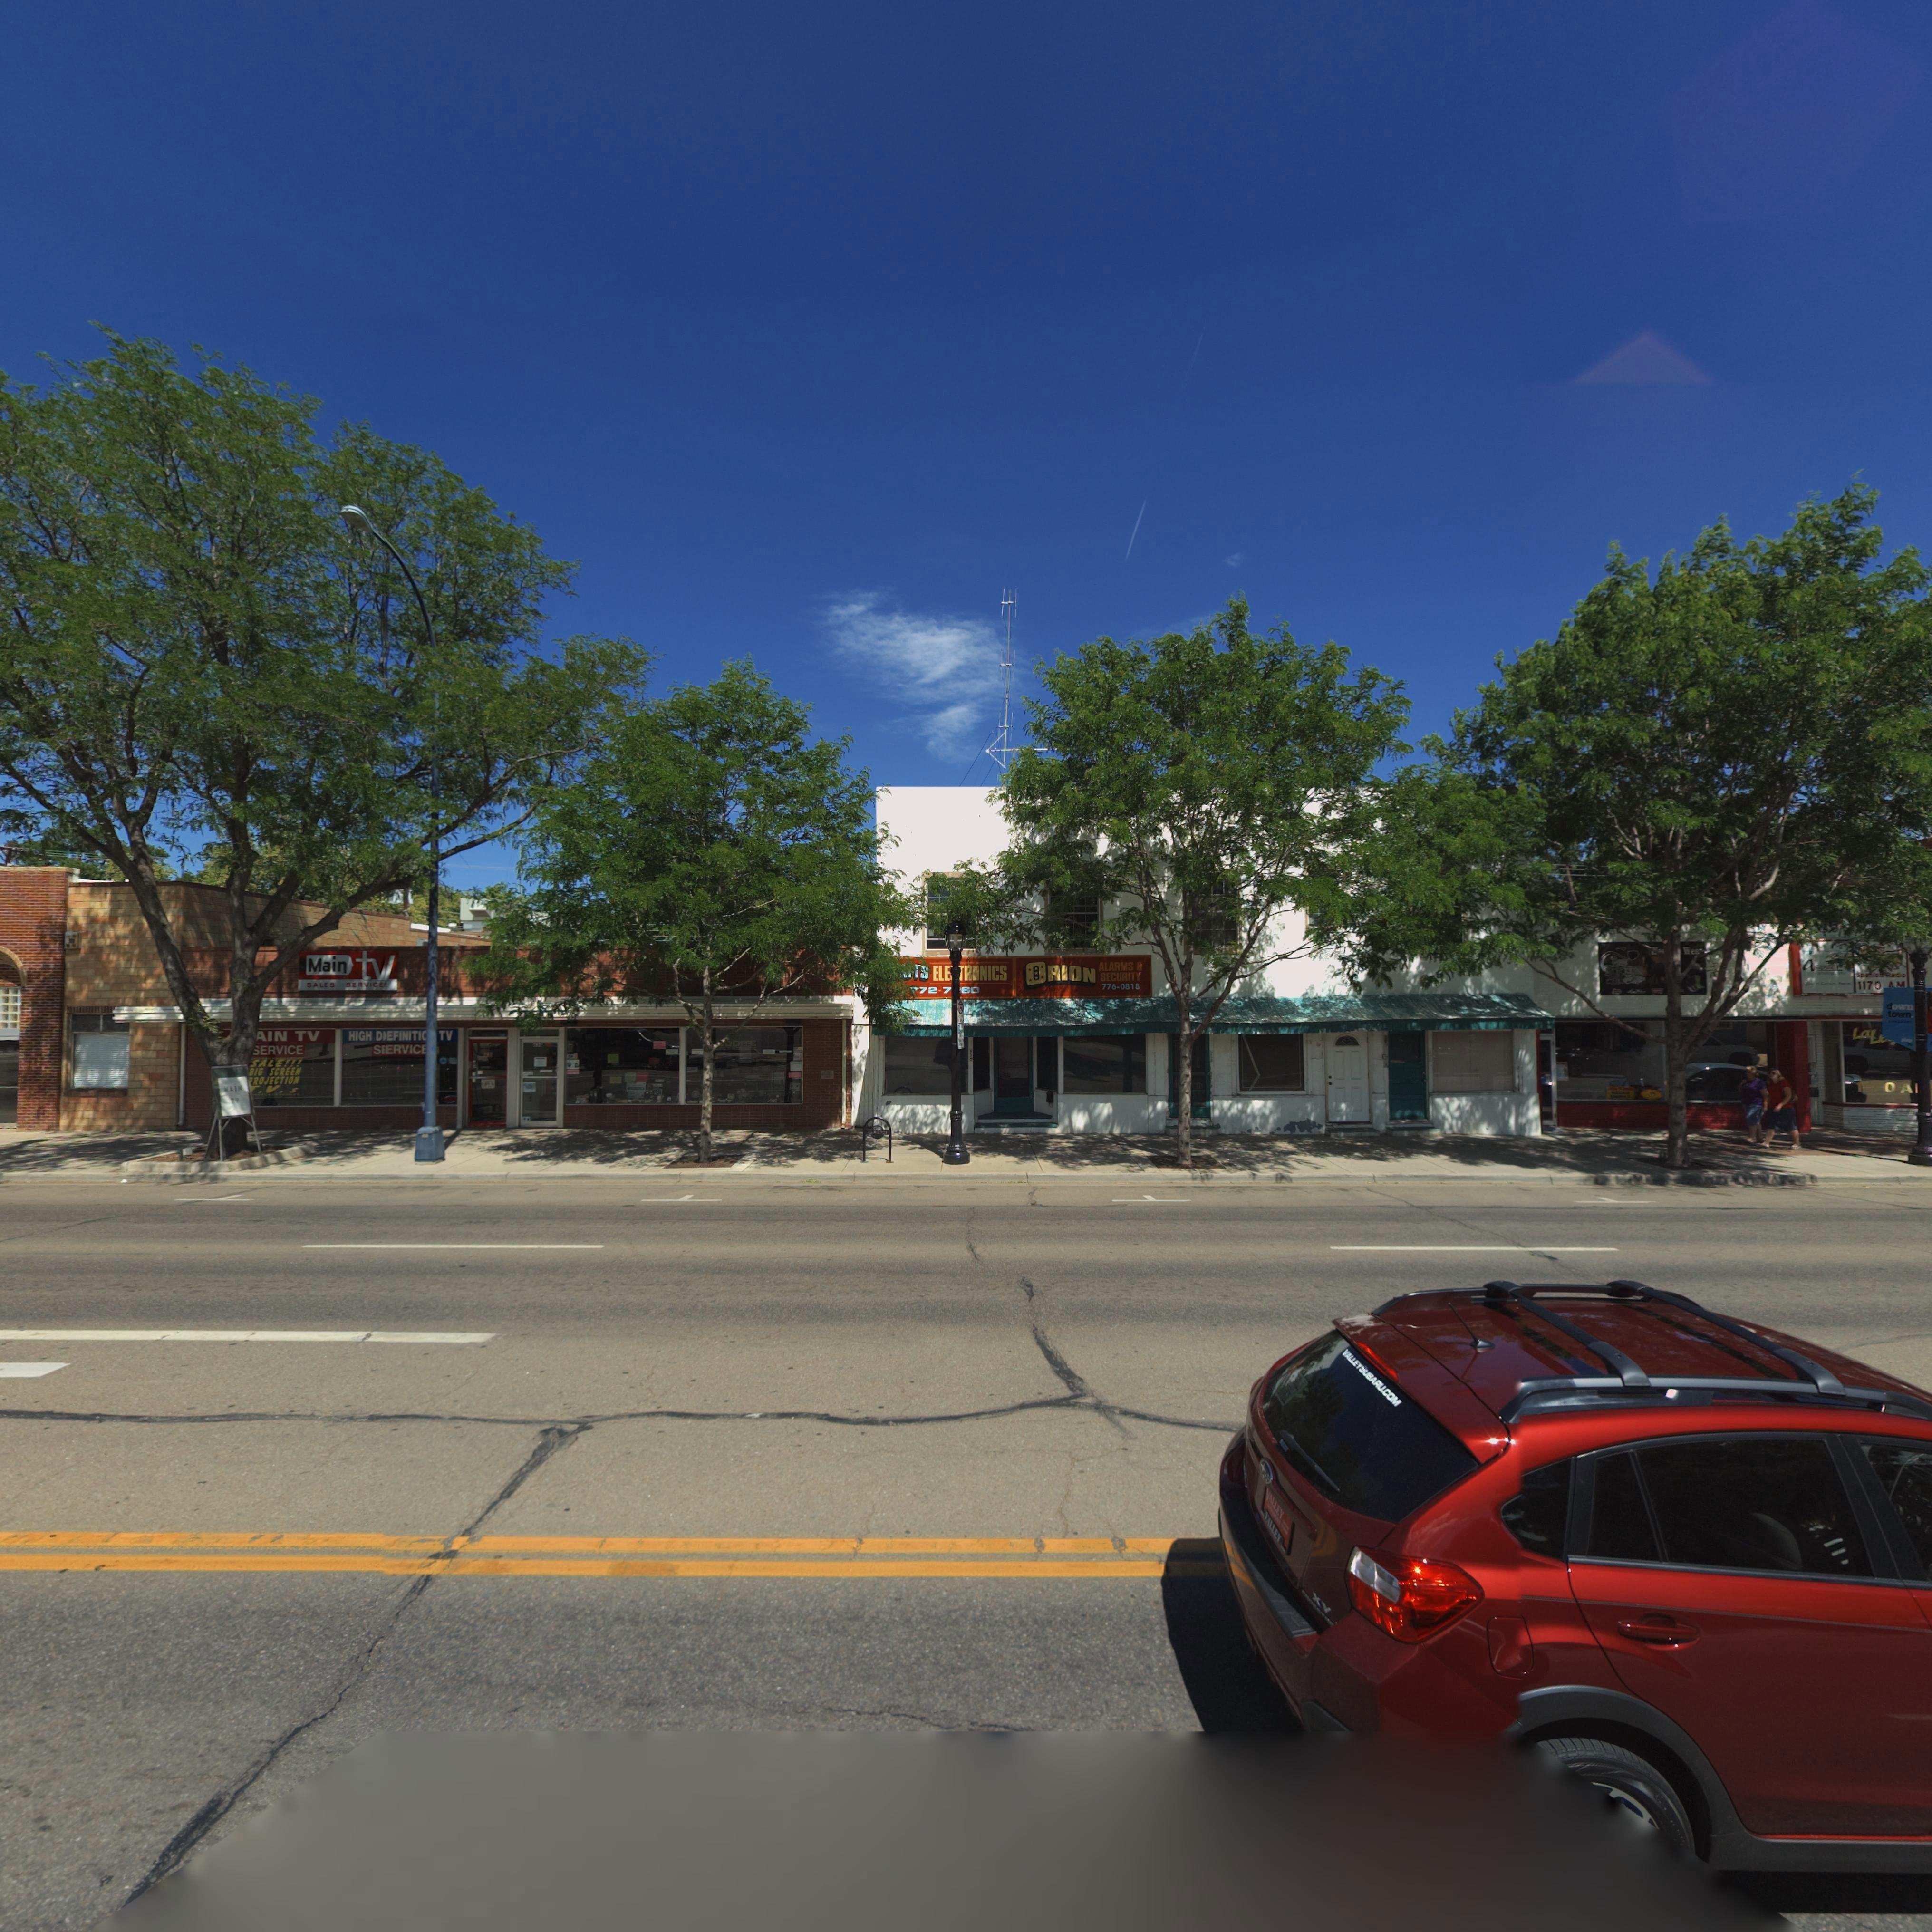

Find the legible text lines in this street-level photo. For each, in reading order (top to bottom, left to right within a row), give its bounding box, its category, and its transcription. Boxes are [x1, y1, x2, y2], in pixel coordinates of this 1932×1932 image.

[308, 955, 347, 975] BusinessName: Main
[355, 950, 396, 981] BusinessName: t*
[1099, 962, 1133, 971] BusinessName: ALARMS
[932, 965, 1007, 981] BusinessName: ELE**RONICS
[1025, 961, 1095, 985] BusinessName: *RION
[1100, 972, 1141, 981] BusinessName: SECURITY
[1856, 980, 1905, 990] BusinessName: 1170 **
[255, 1030, 320, 1042] BusinessName: *IN TV
[1852, 1026, 1870, 1040] BusinessName: La
[1870, 1028, 1886, 1044] BusinessName: L*
[252, 1045, 303, 1055] BusinessName: *ERVICE
[533, 1043, 542, 1047] StreetNumber: **4
[724, 1040, 756, 1046] BusinessName: *DITE
[969, 1049, 972, 1061] StreetNumber: 630